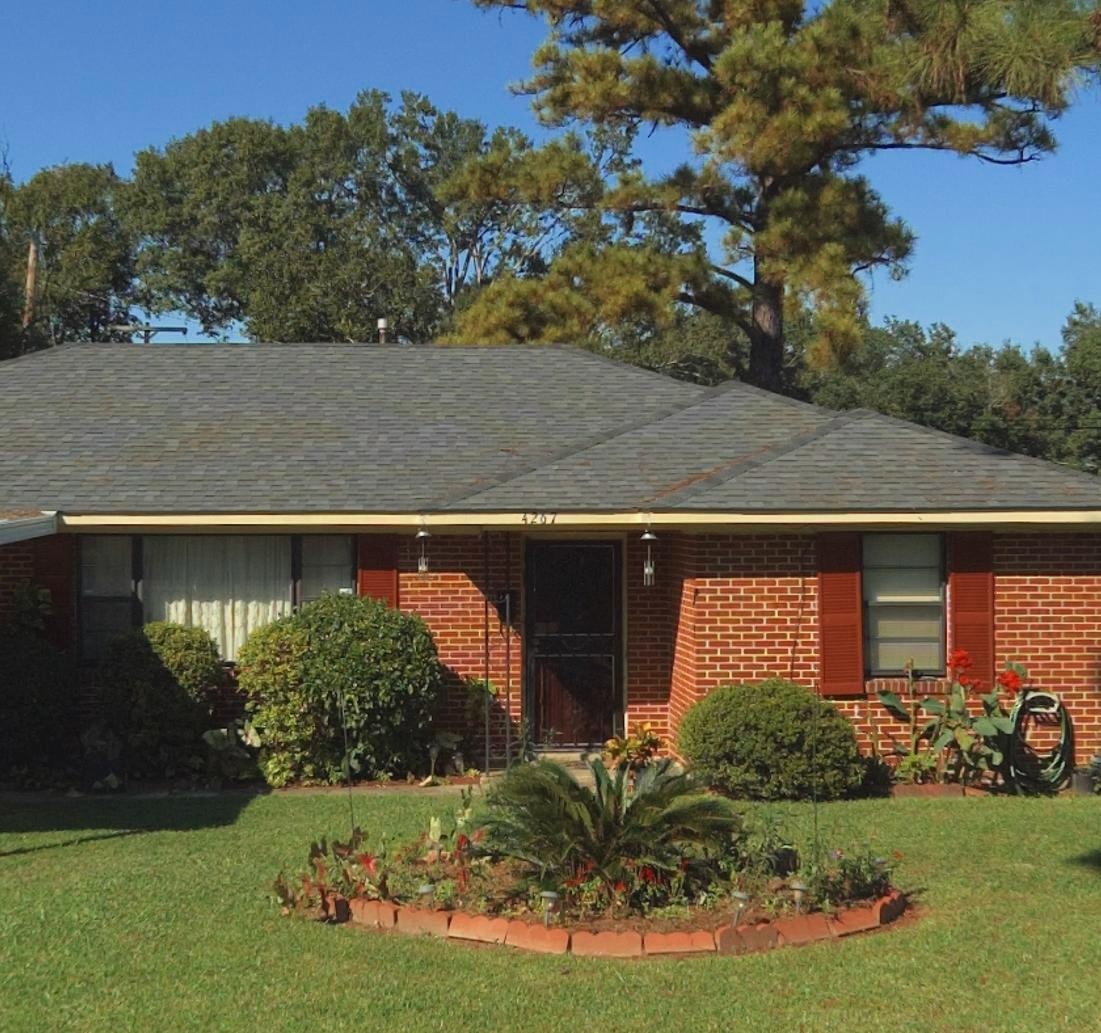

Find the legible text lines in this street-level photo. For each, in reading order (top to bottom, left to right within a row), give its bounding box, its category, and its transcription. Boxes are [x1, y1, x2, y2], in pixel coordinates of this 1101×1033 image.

[520, 511, 558, 525] StreetNumber: 4267